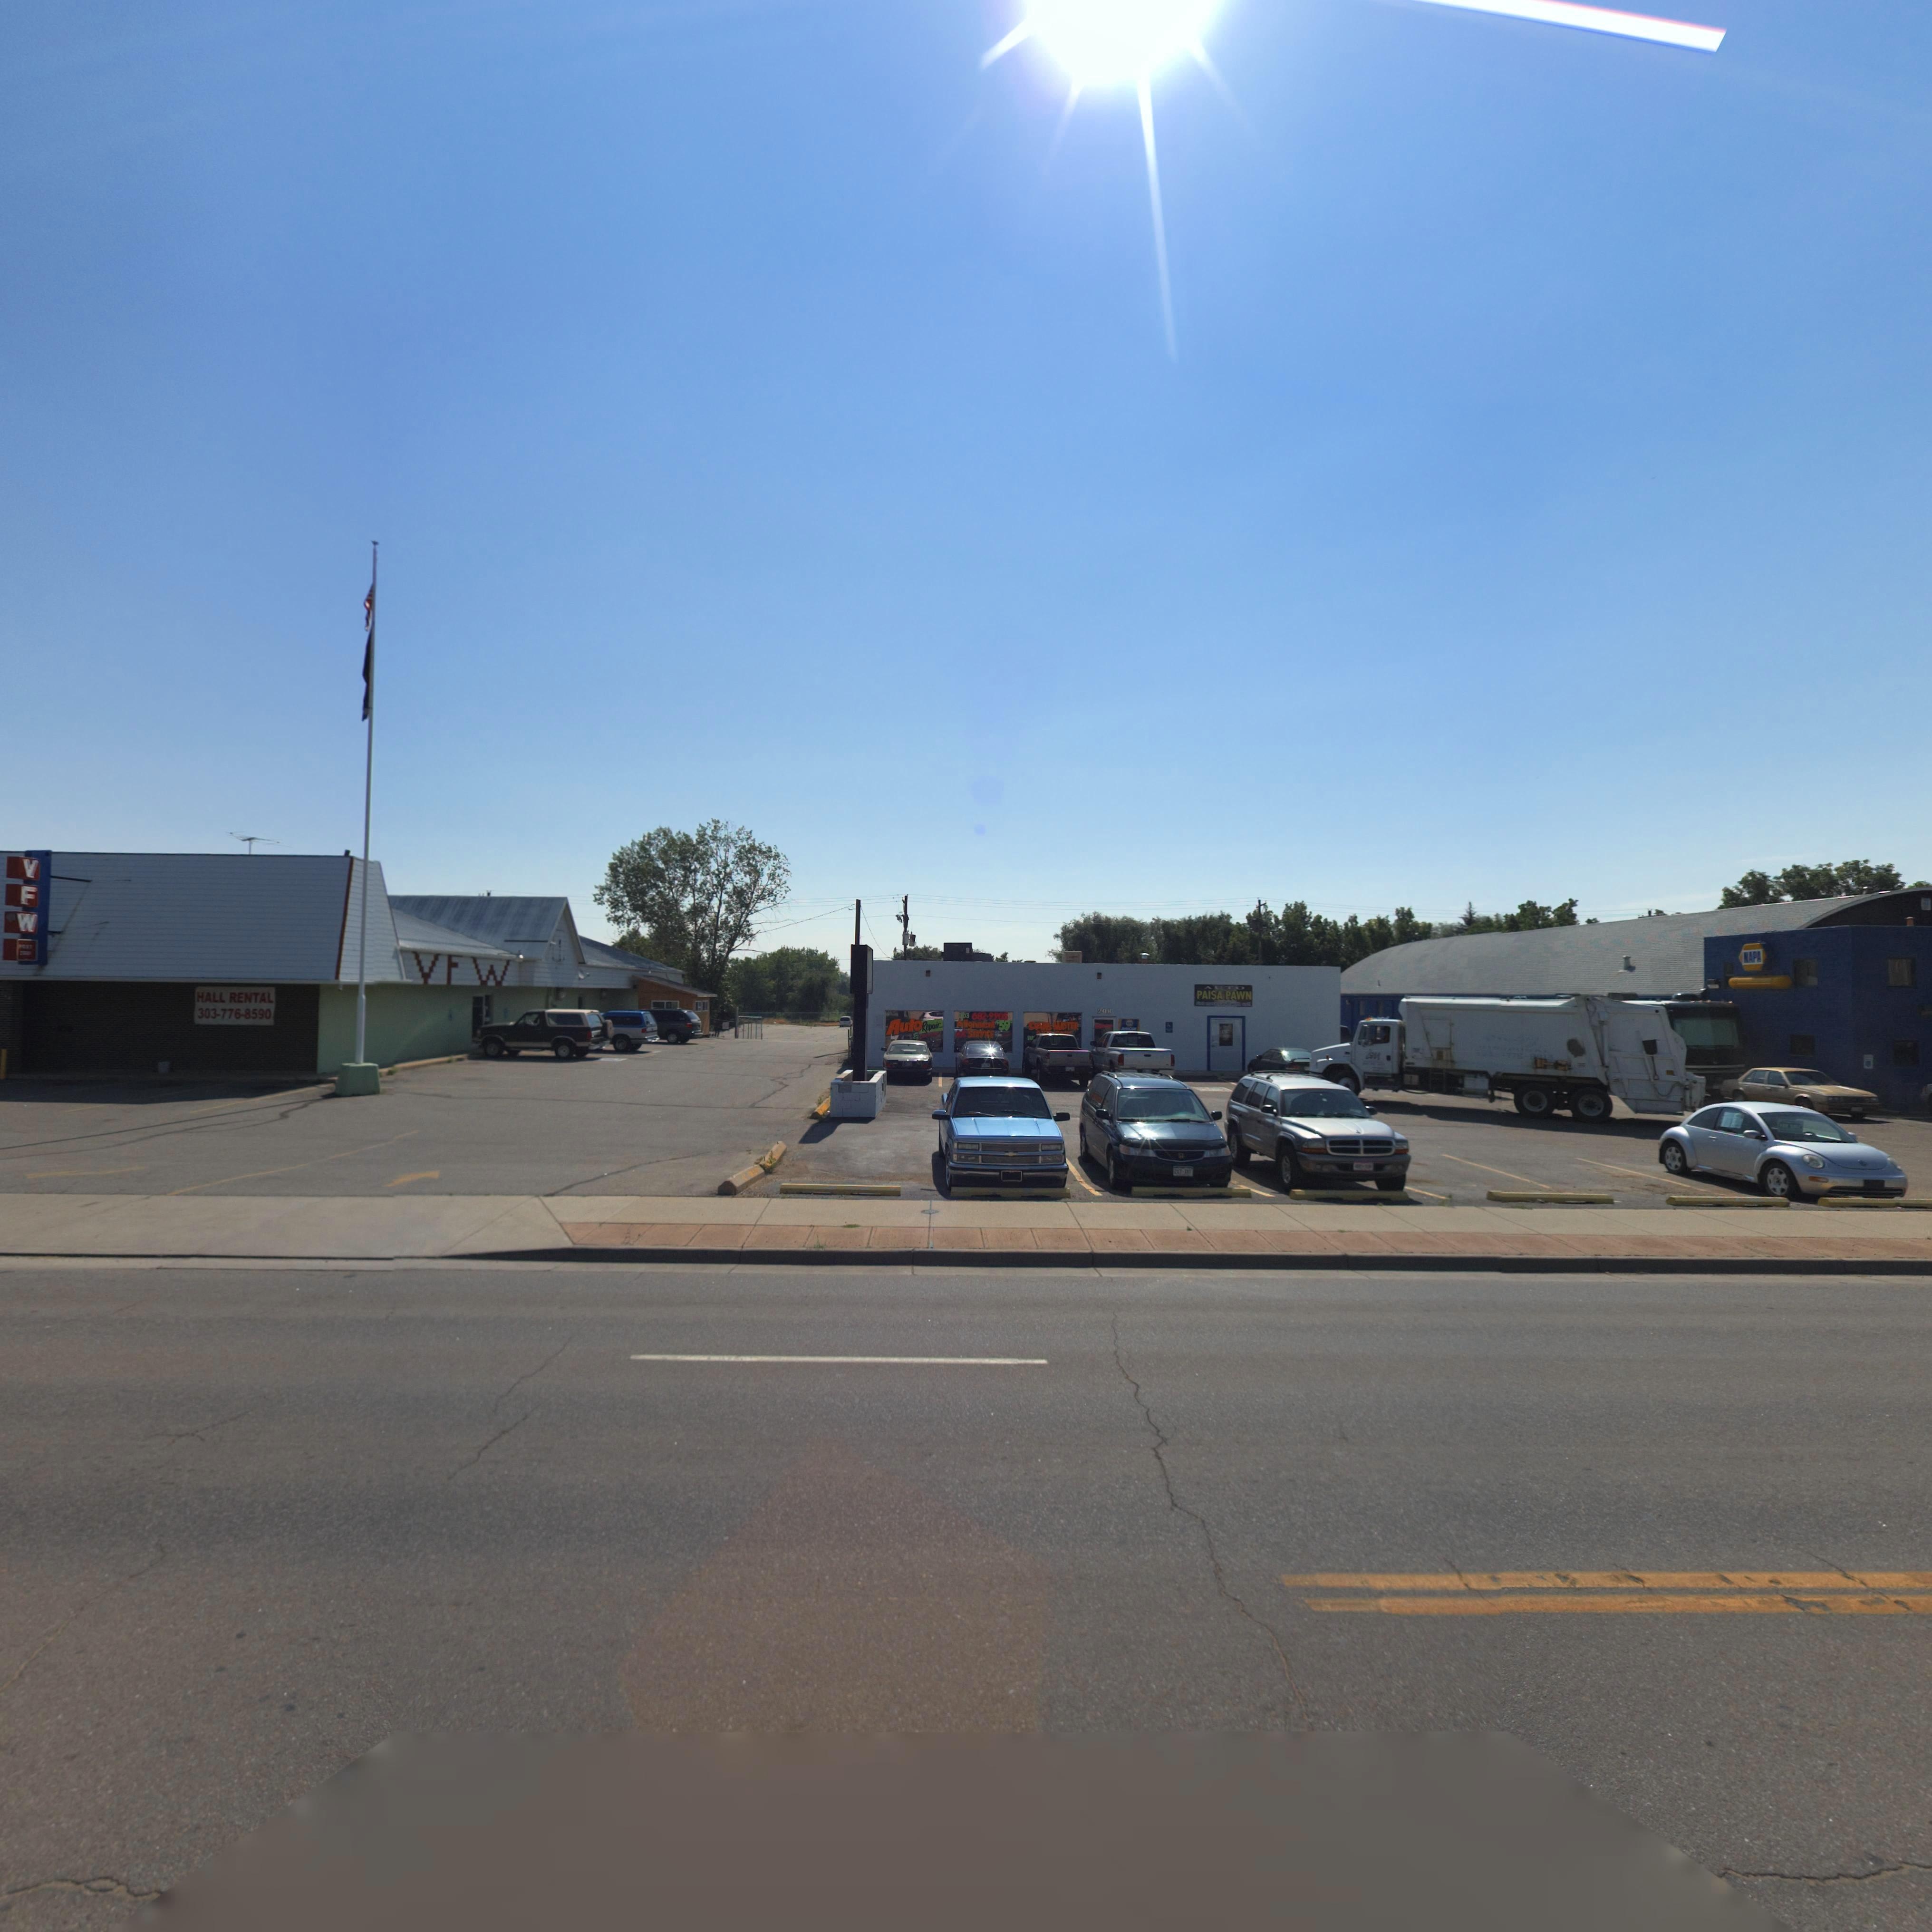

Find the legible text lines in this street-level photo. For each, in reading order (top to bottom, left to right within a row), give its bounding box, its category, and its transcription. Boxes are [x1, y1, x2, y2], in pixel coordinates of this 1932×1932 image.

[16, 858, 40, 934] BusinessName: VFW
[1743, 950, 1761, 963] BusinessName: NAPA
[409, 949, 514, 987] BusinessName: VFW
[1196, 990, 1252, 1000] BusinessName: PAISA PAWN
[1097, 1008, 1111, 1014] StreetNumber: 208